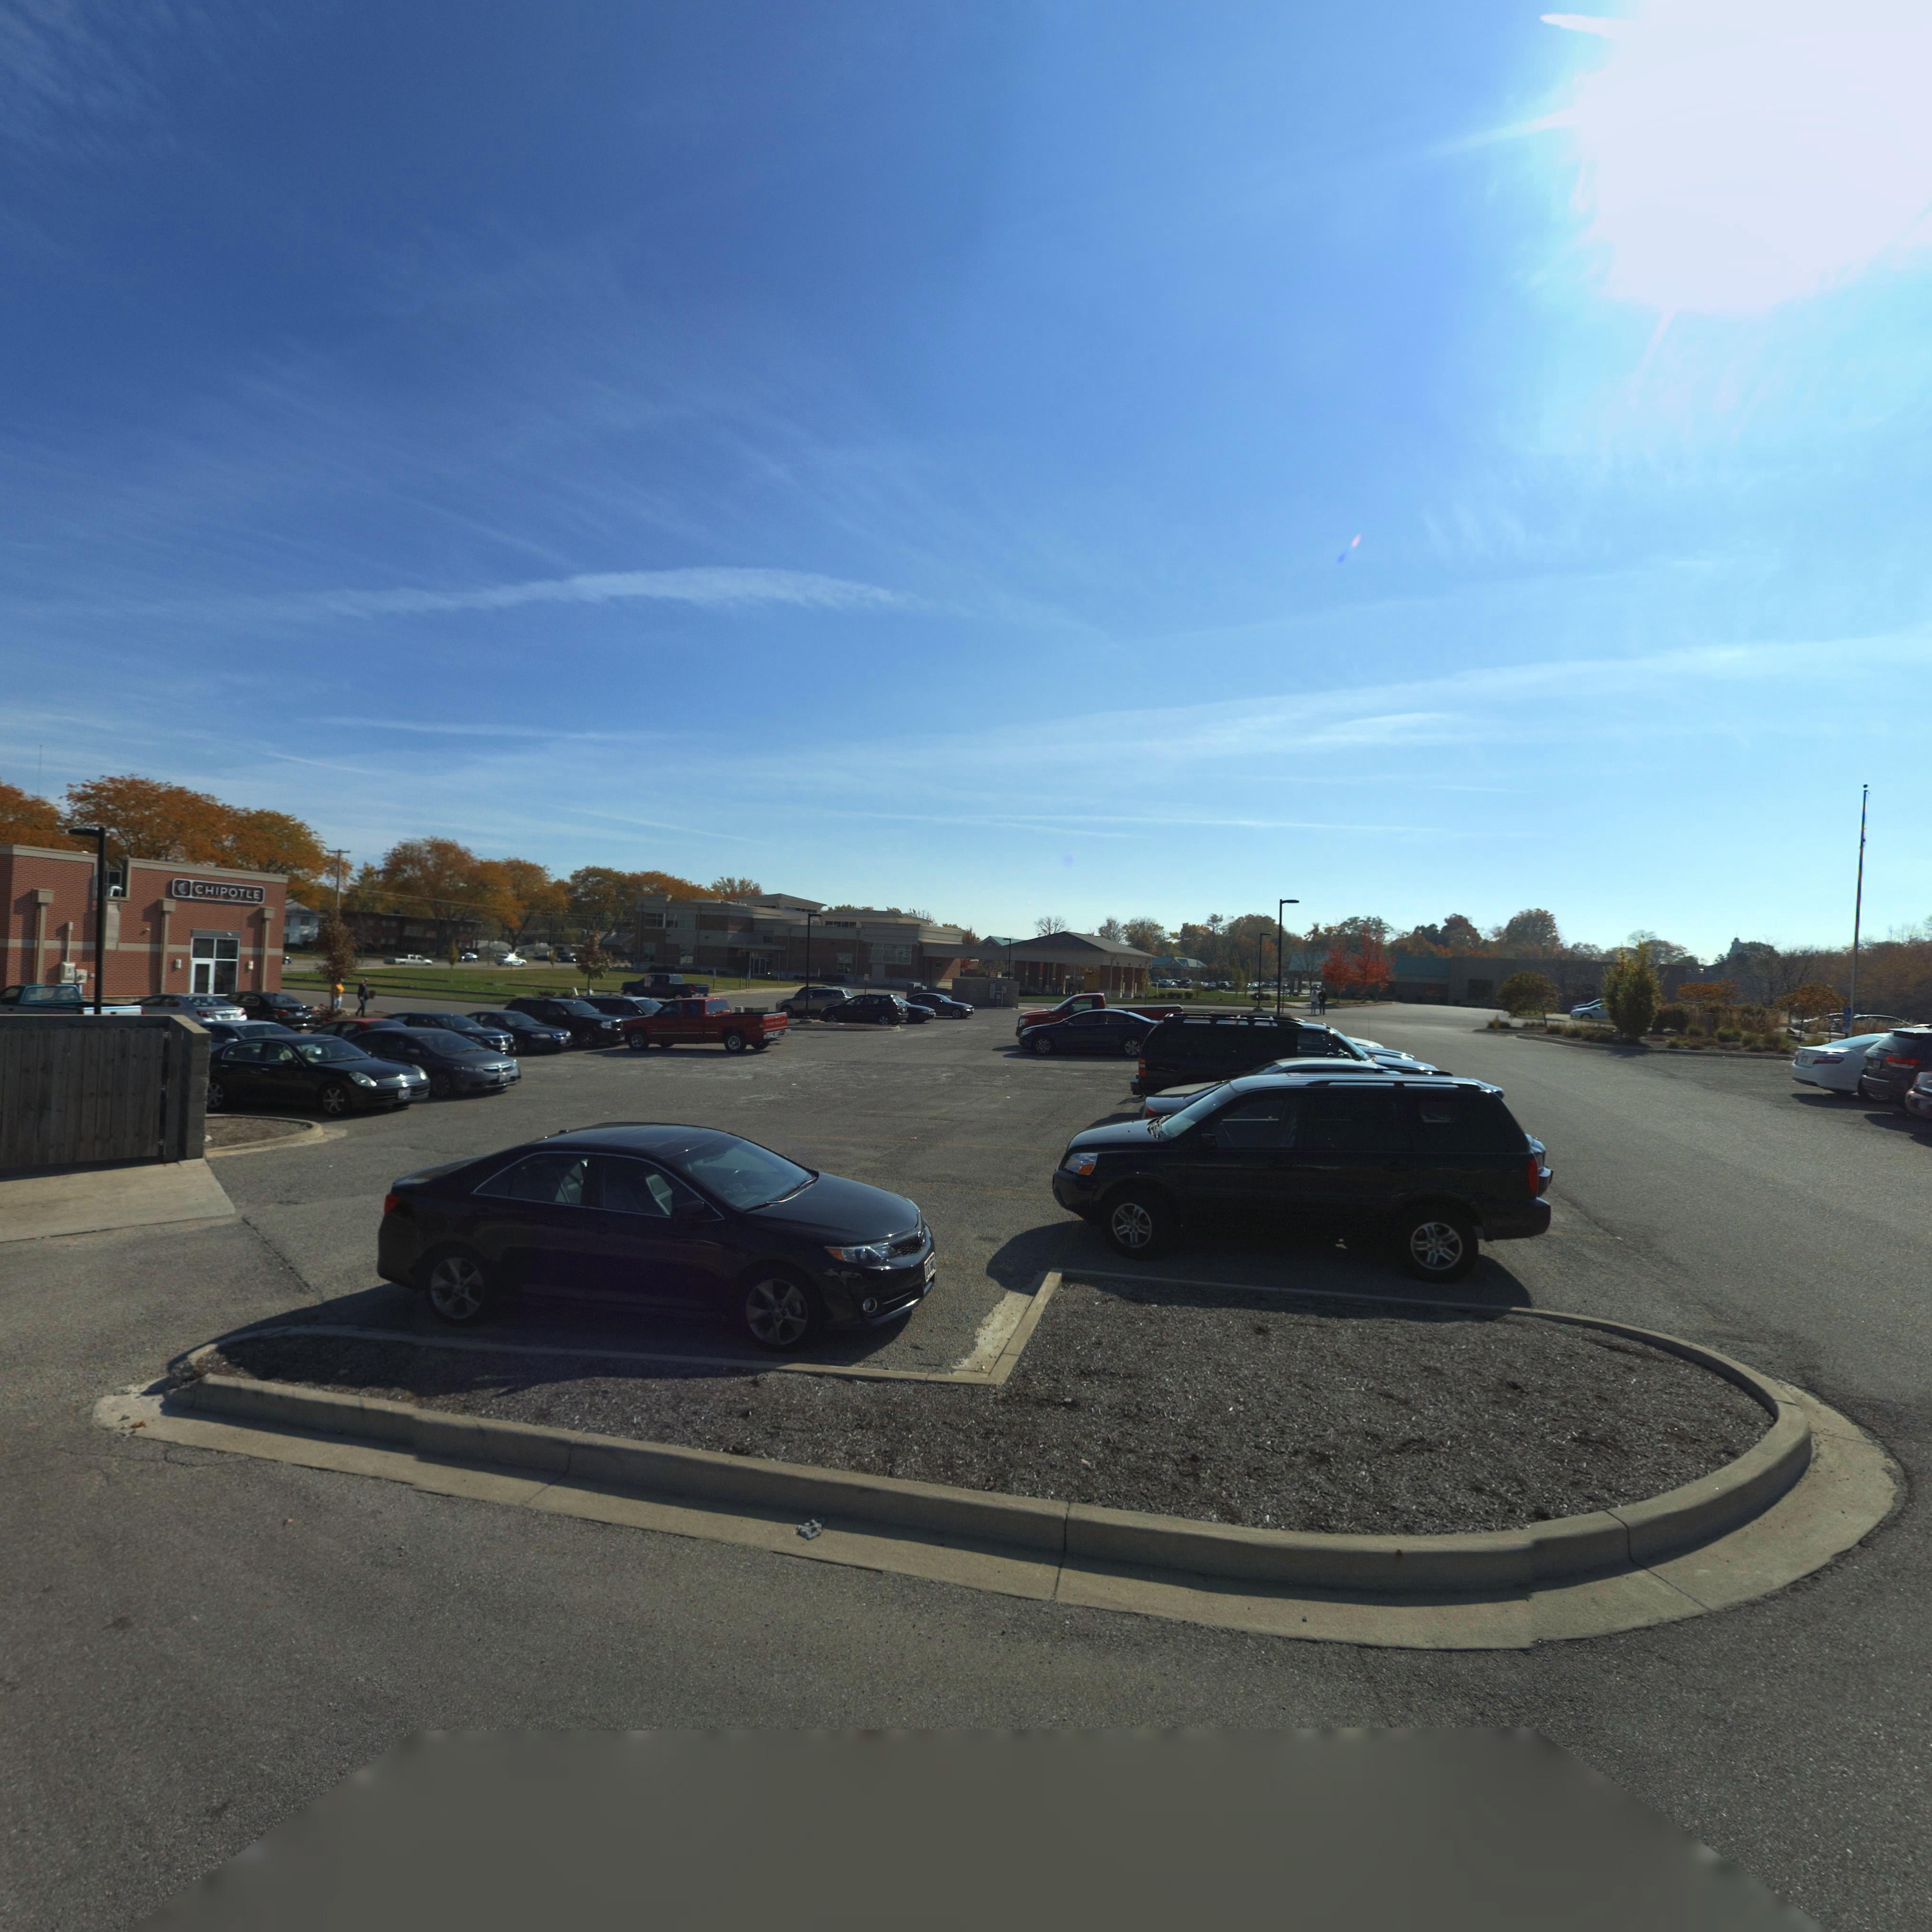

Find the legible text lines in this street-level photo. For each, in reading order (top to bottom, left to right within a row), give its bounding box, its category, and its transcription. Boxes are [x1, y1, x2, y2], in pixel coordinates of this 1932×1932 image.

[192, 882, 262, 901] BusinessName: CHIPOTLE